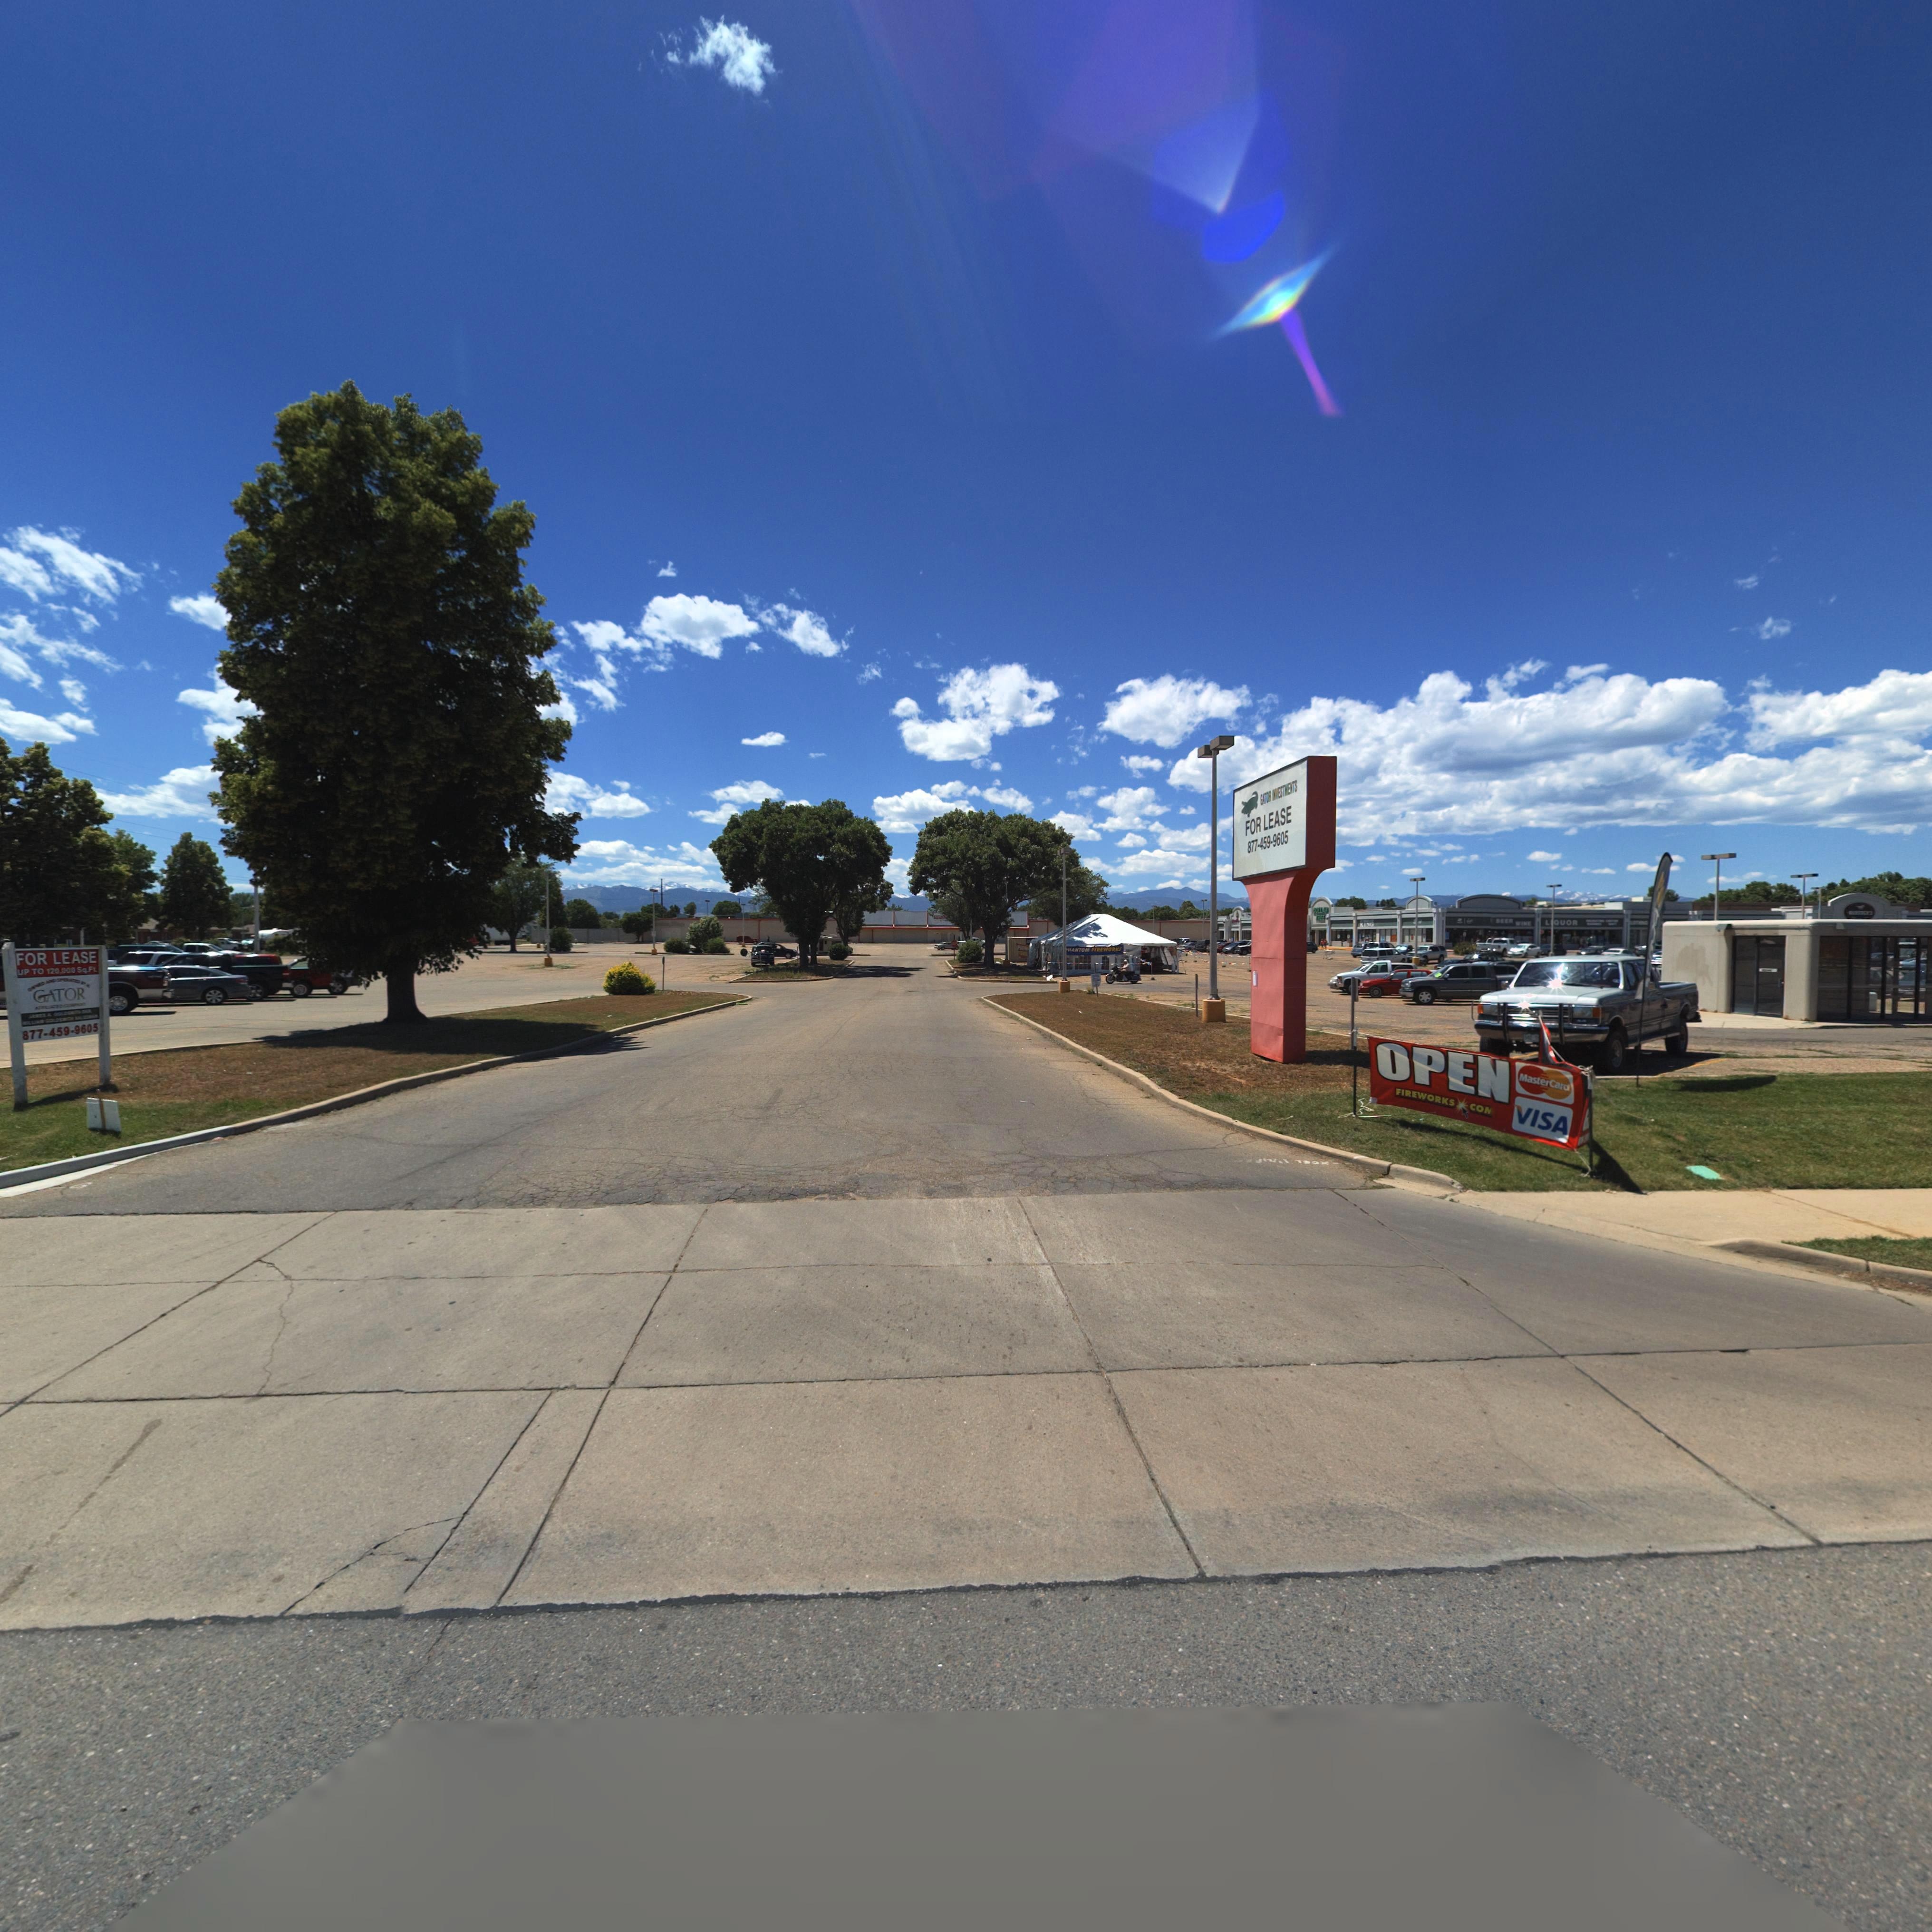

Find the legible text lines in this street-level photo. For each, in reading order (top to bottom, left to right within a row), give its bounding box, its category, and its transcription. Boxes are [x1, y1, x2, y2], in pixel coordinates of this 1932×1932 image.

[1312, 907, 1328, 913] BusinessName: DOLLAR
[1315, 915, 1324, 920] BusinessName: *REE
[1359, 922, 1374, 927] BusinessName: KING